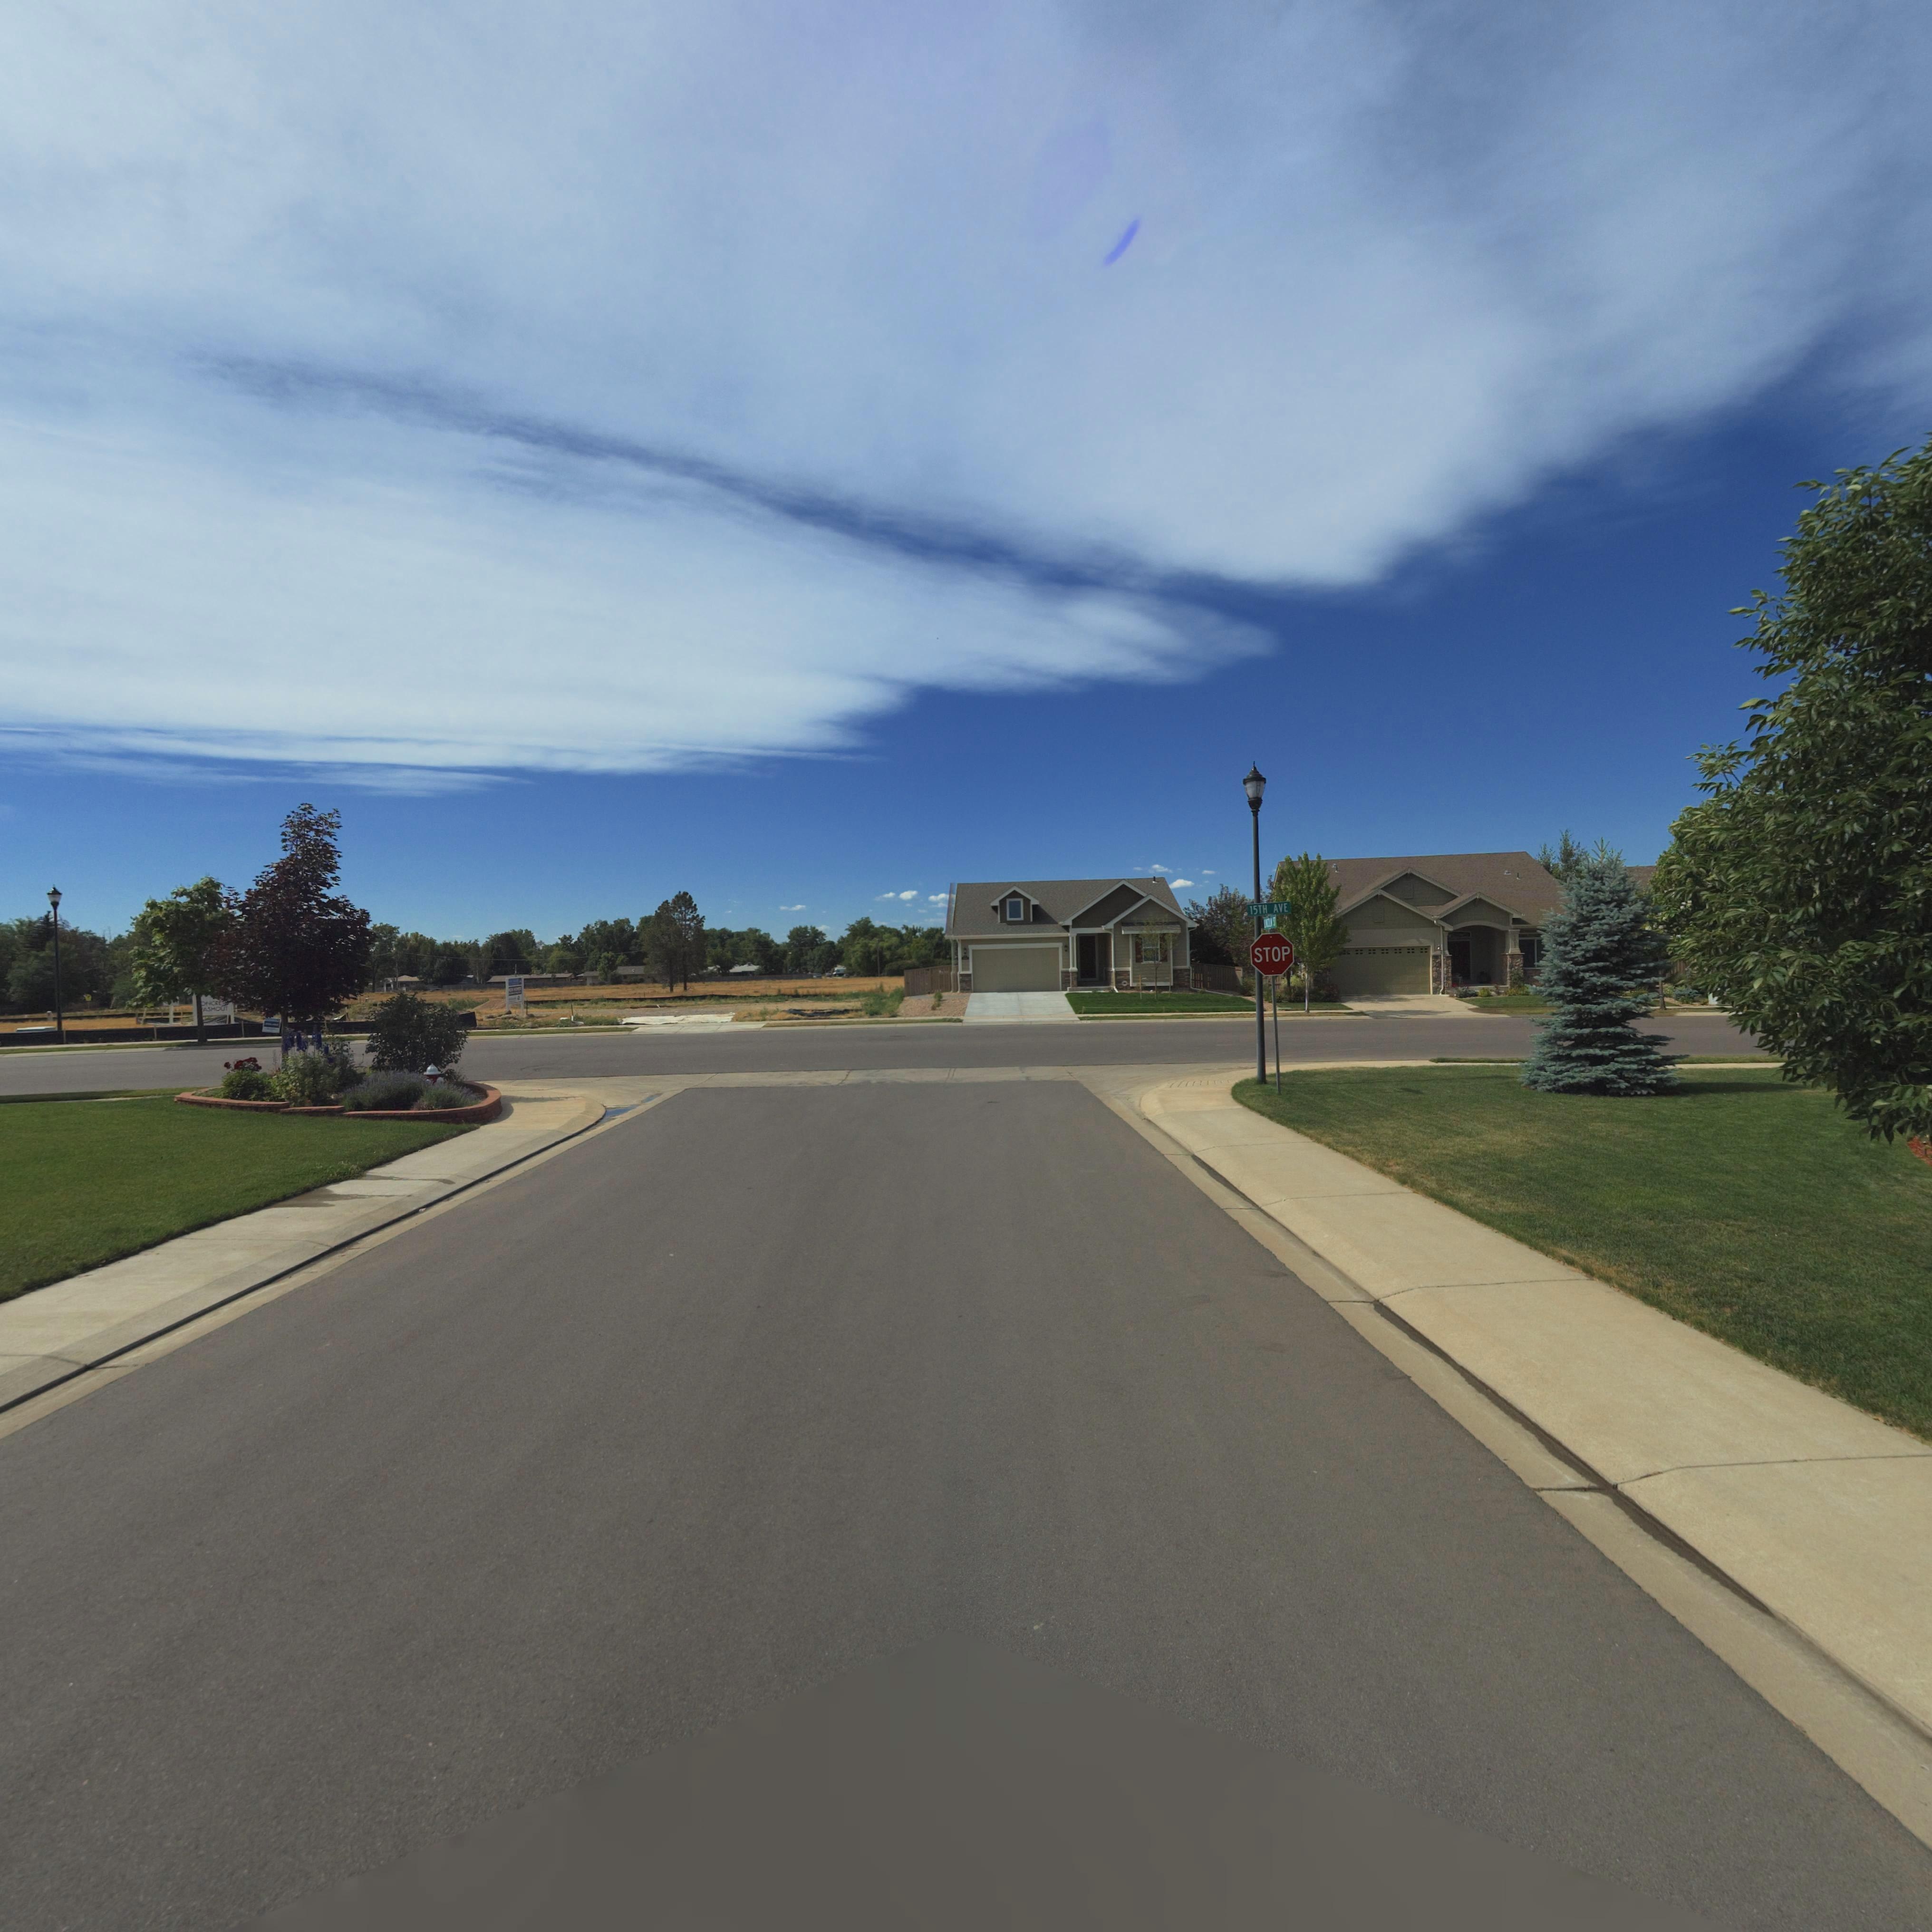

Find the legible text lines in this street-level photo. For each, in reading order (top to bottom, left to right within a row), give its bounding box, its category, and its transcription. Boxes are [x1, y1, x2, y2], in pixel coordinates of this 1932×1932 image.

[1249, 902, 1289, 915] StreetName: 15TH AVE